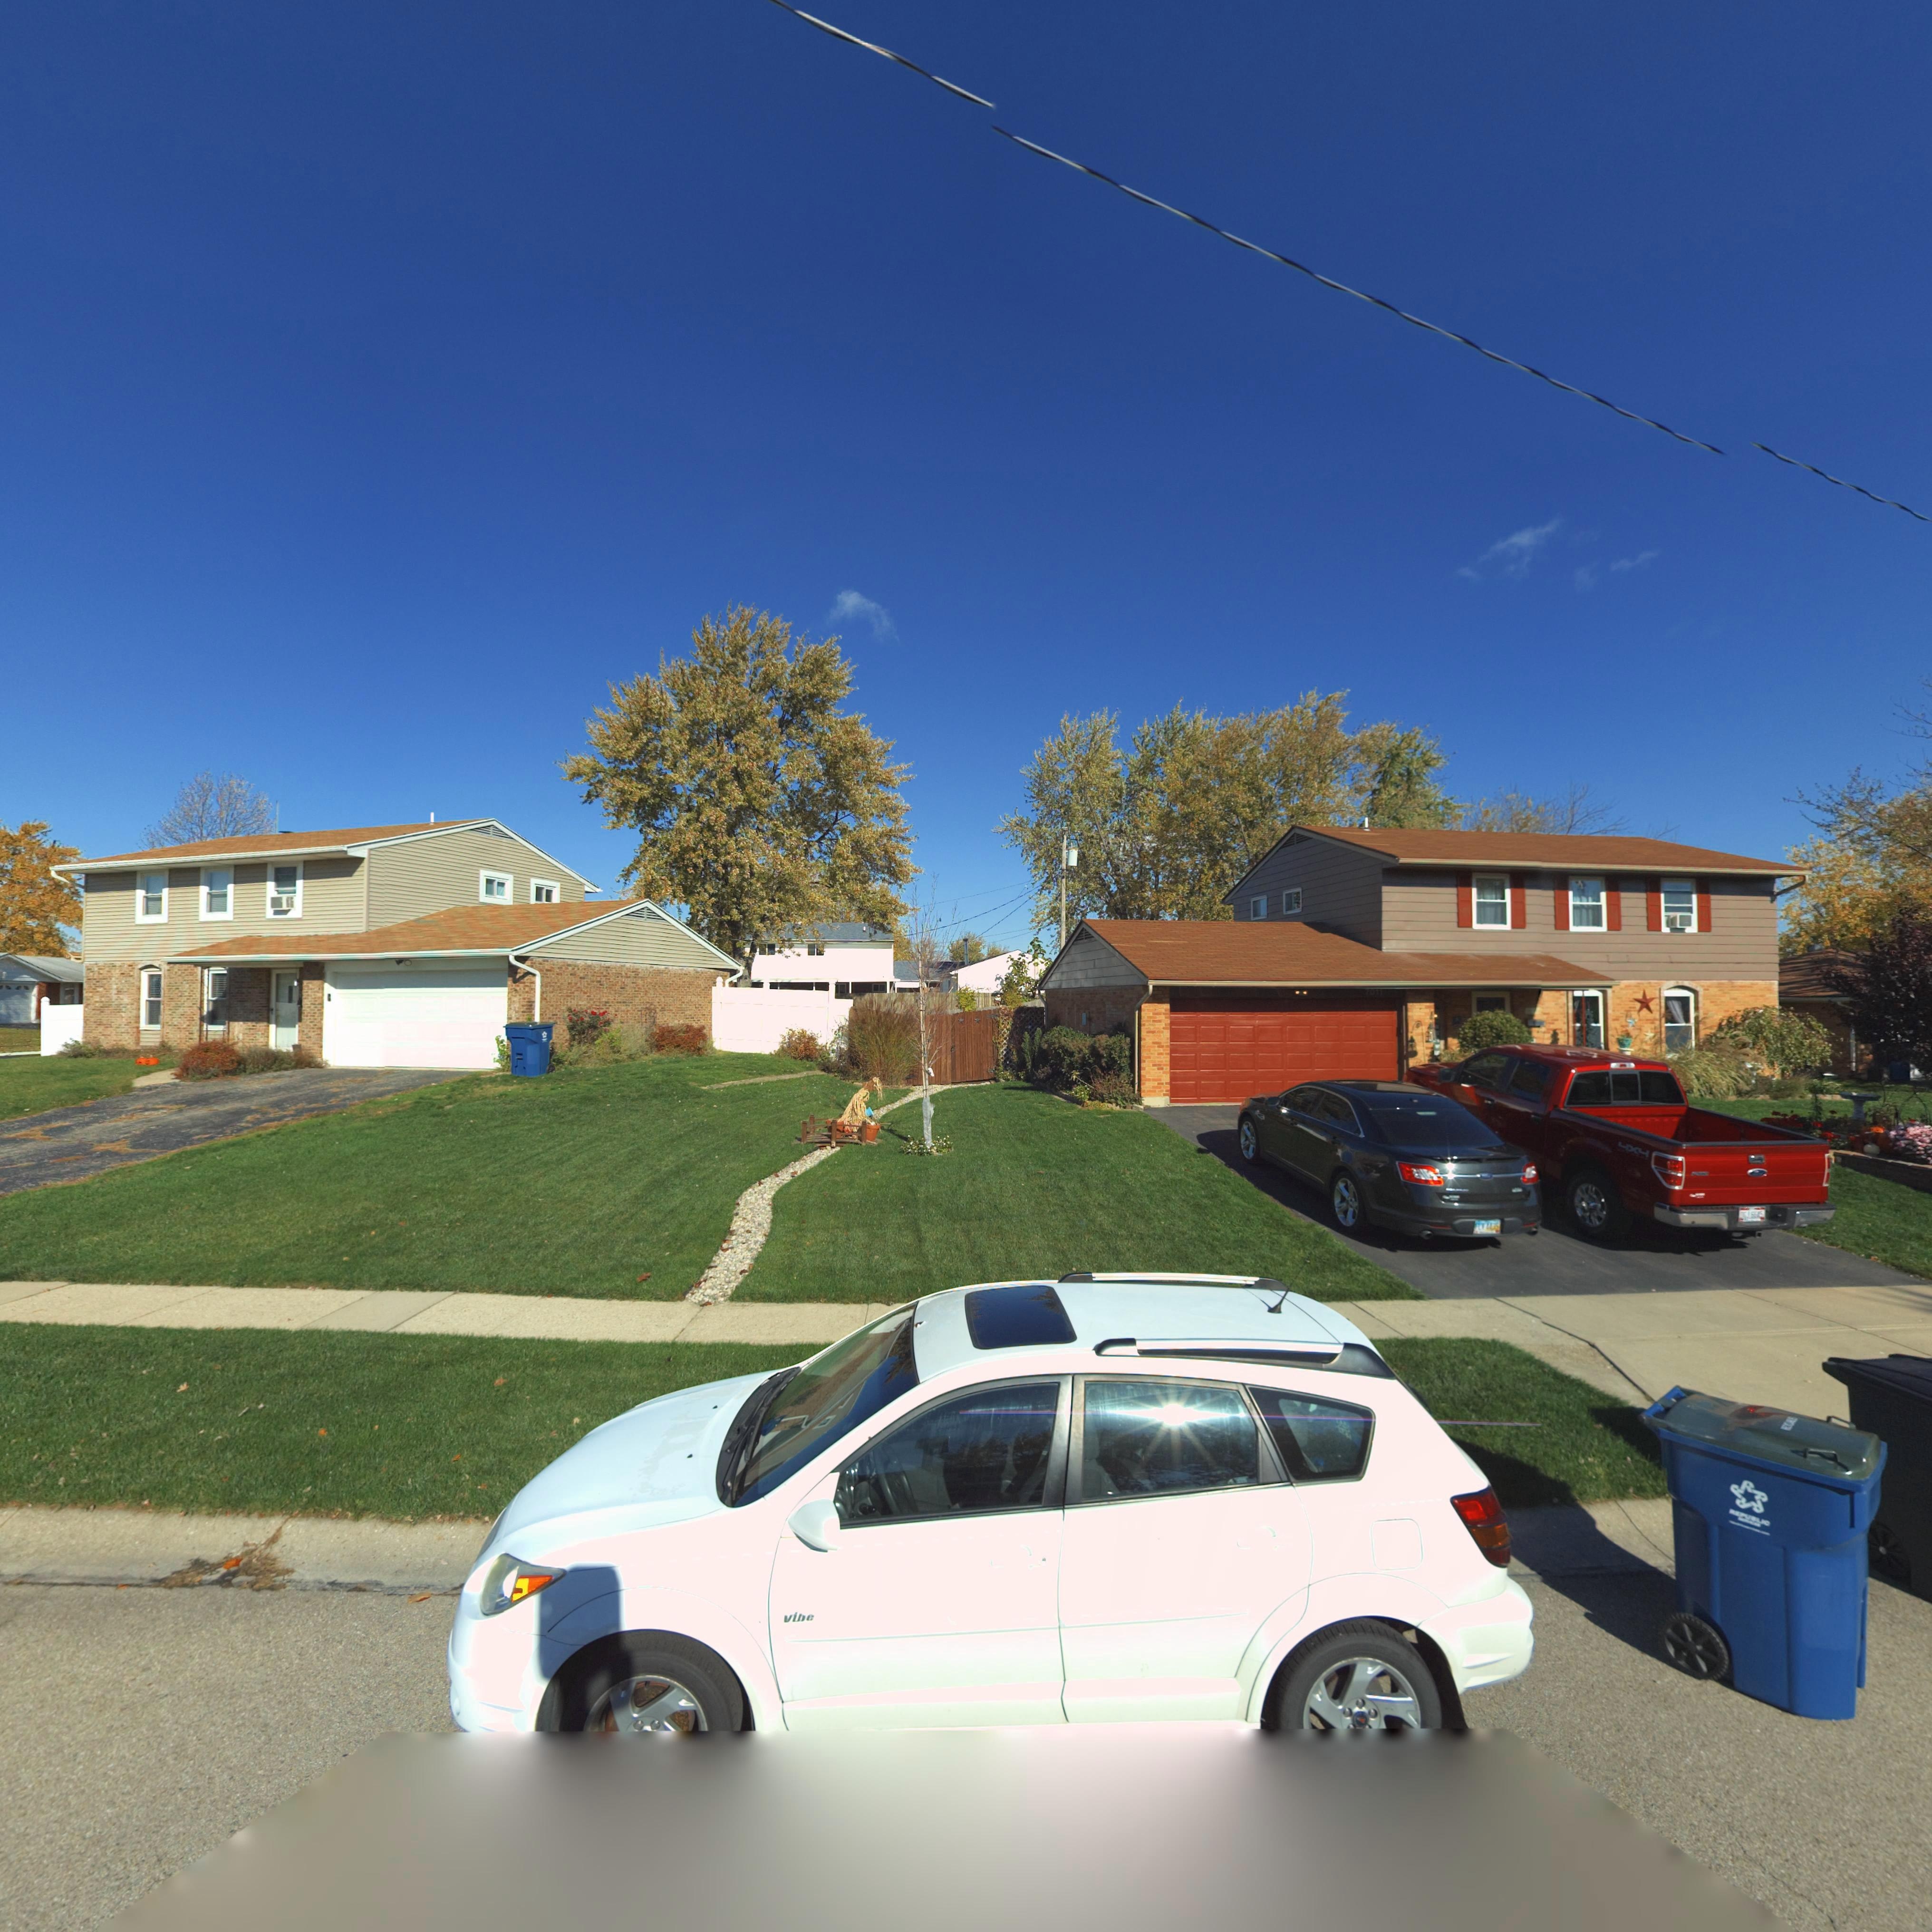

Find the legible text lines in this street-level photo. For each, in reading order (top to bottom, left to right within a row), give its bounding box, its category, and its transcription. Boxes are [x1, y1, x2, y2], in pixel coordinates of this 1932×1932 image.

[1364, 988, 1383, 996] StreetNumber: 7011